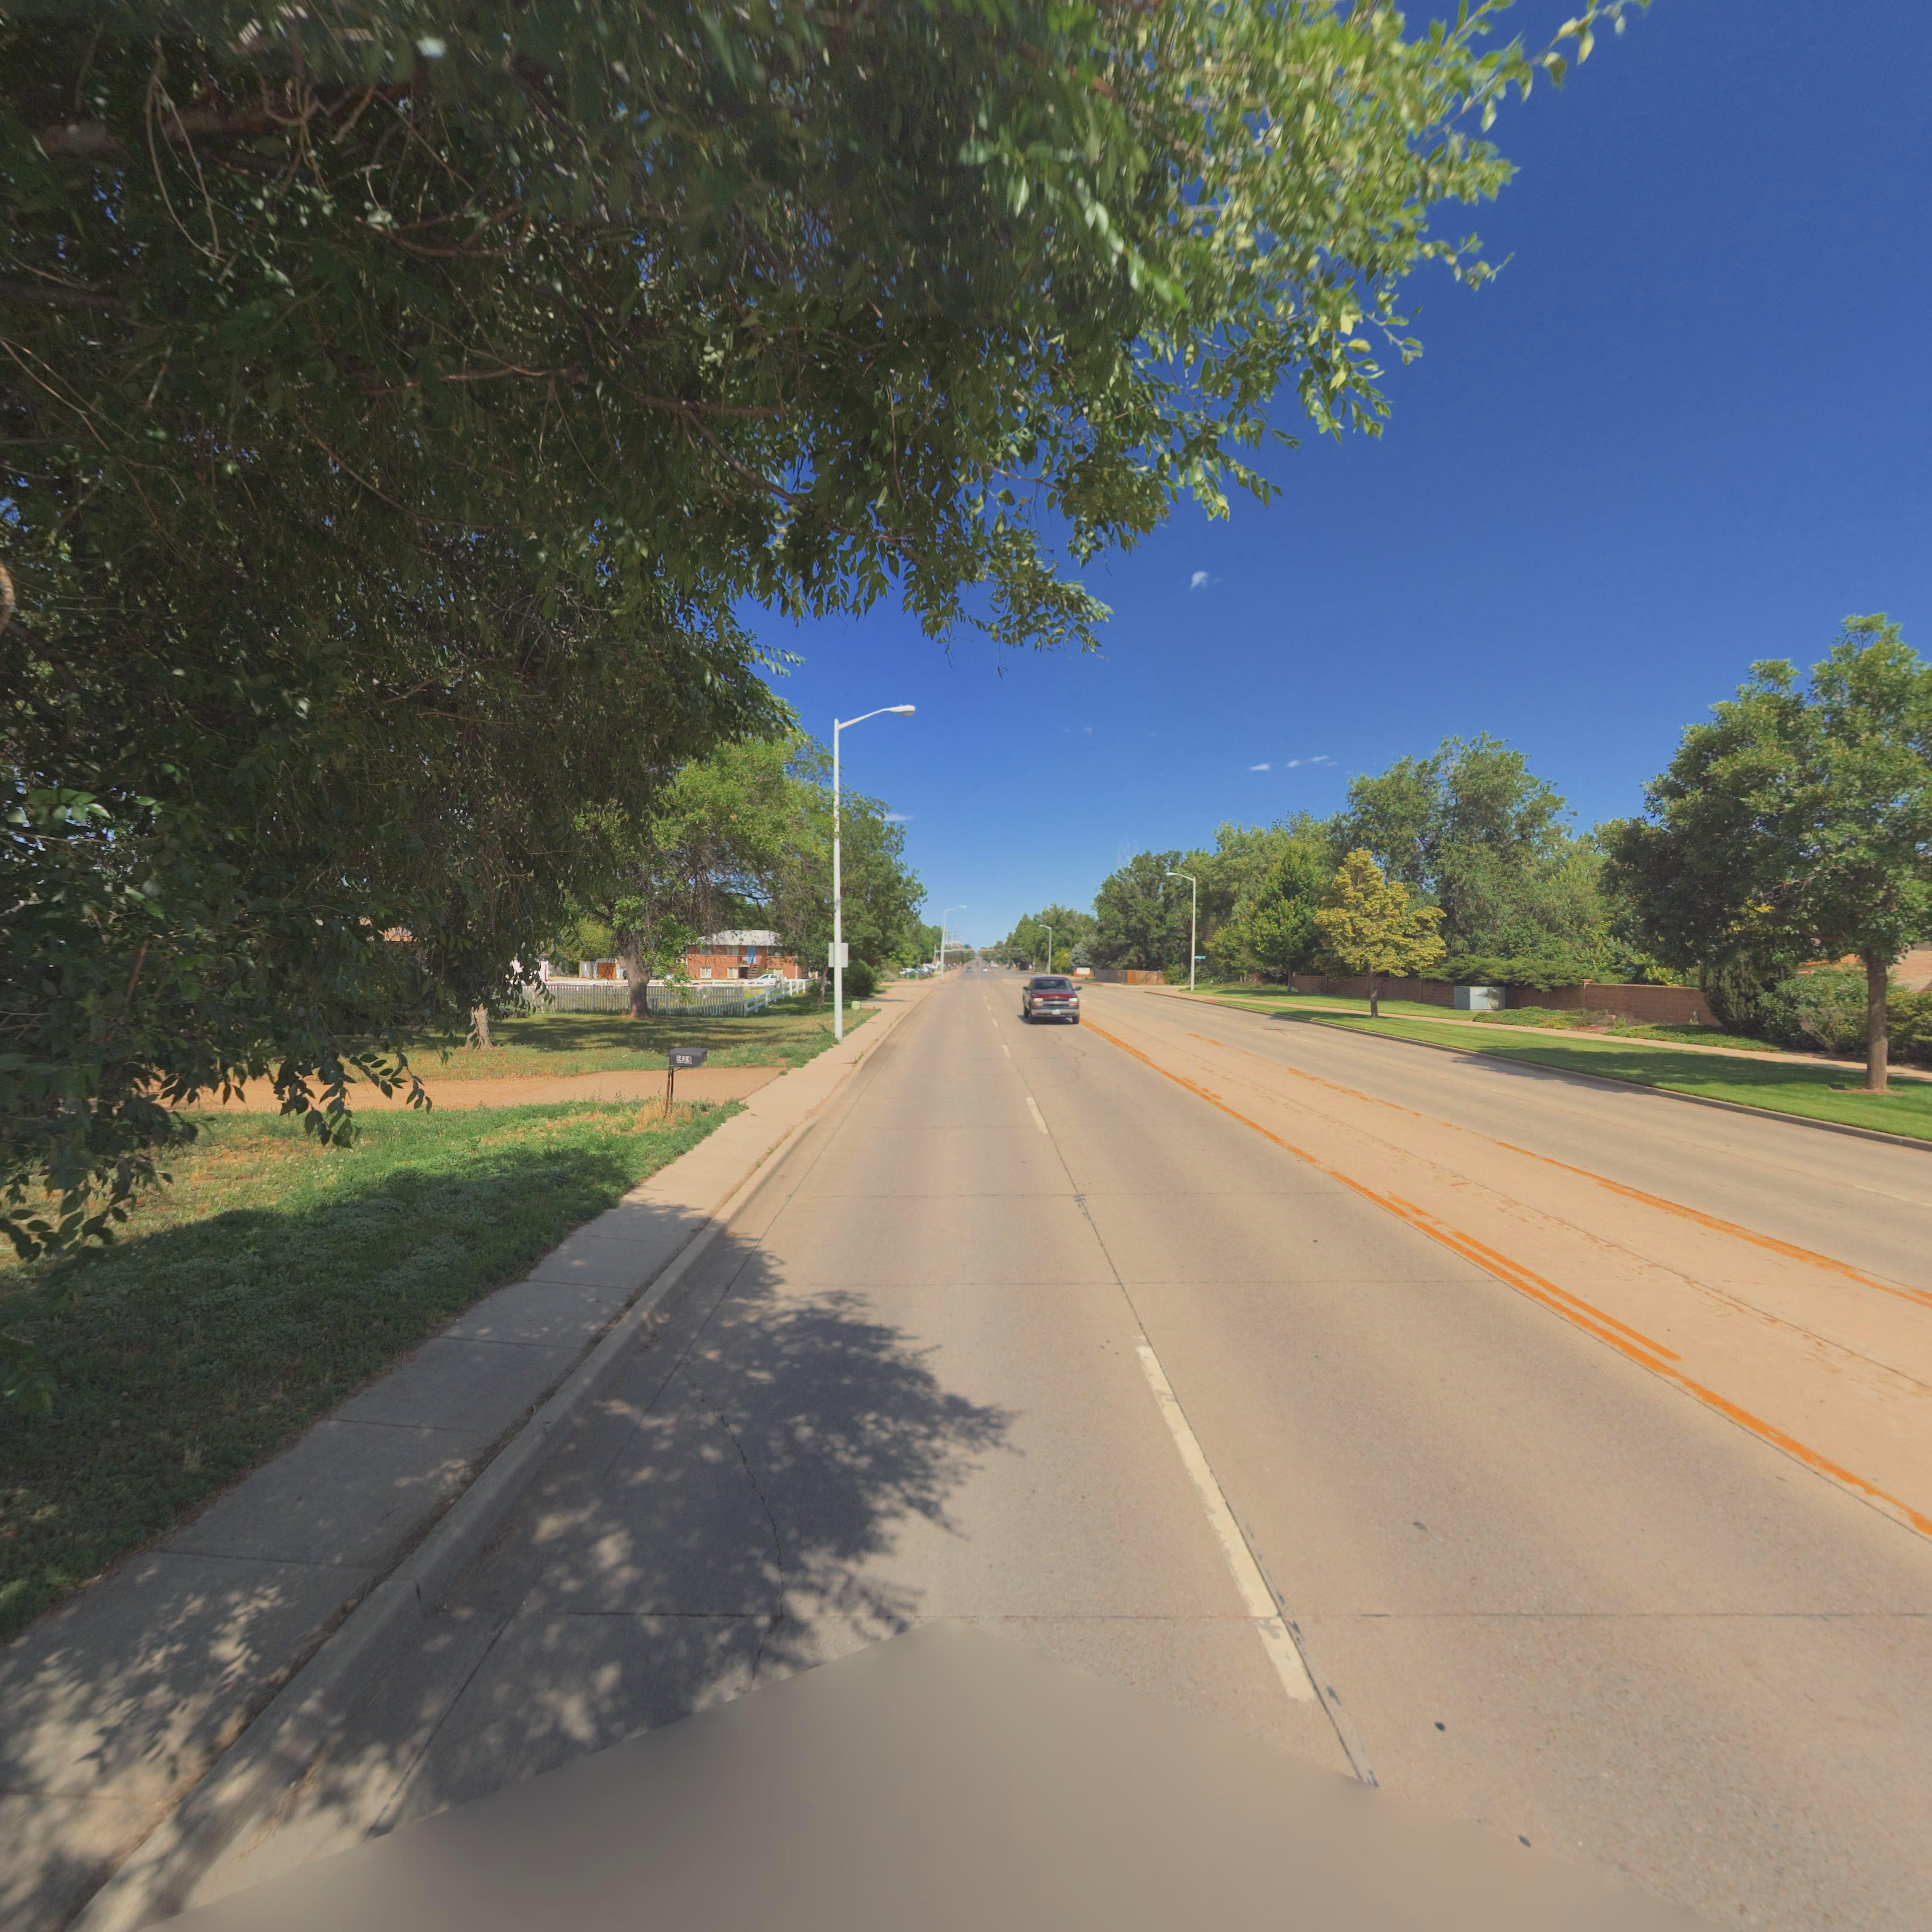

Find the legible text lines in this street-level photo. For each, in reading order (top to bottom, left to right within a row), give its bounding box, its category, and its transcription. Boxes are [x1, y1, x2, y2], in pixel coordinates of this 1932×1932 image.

[677, 1055, 691, 1062] StreetNumber: 1424